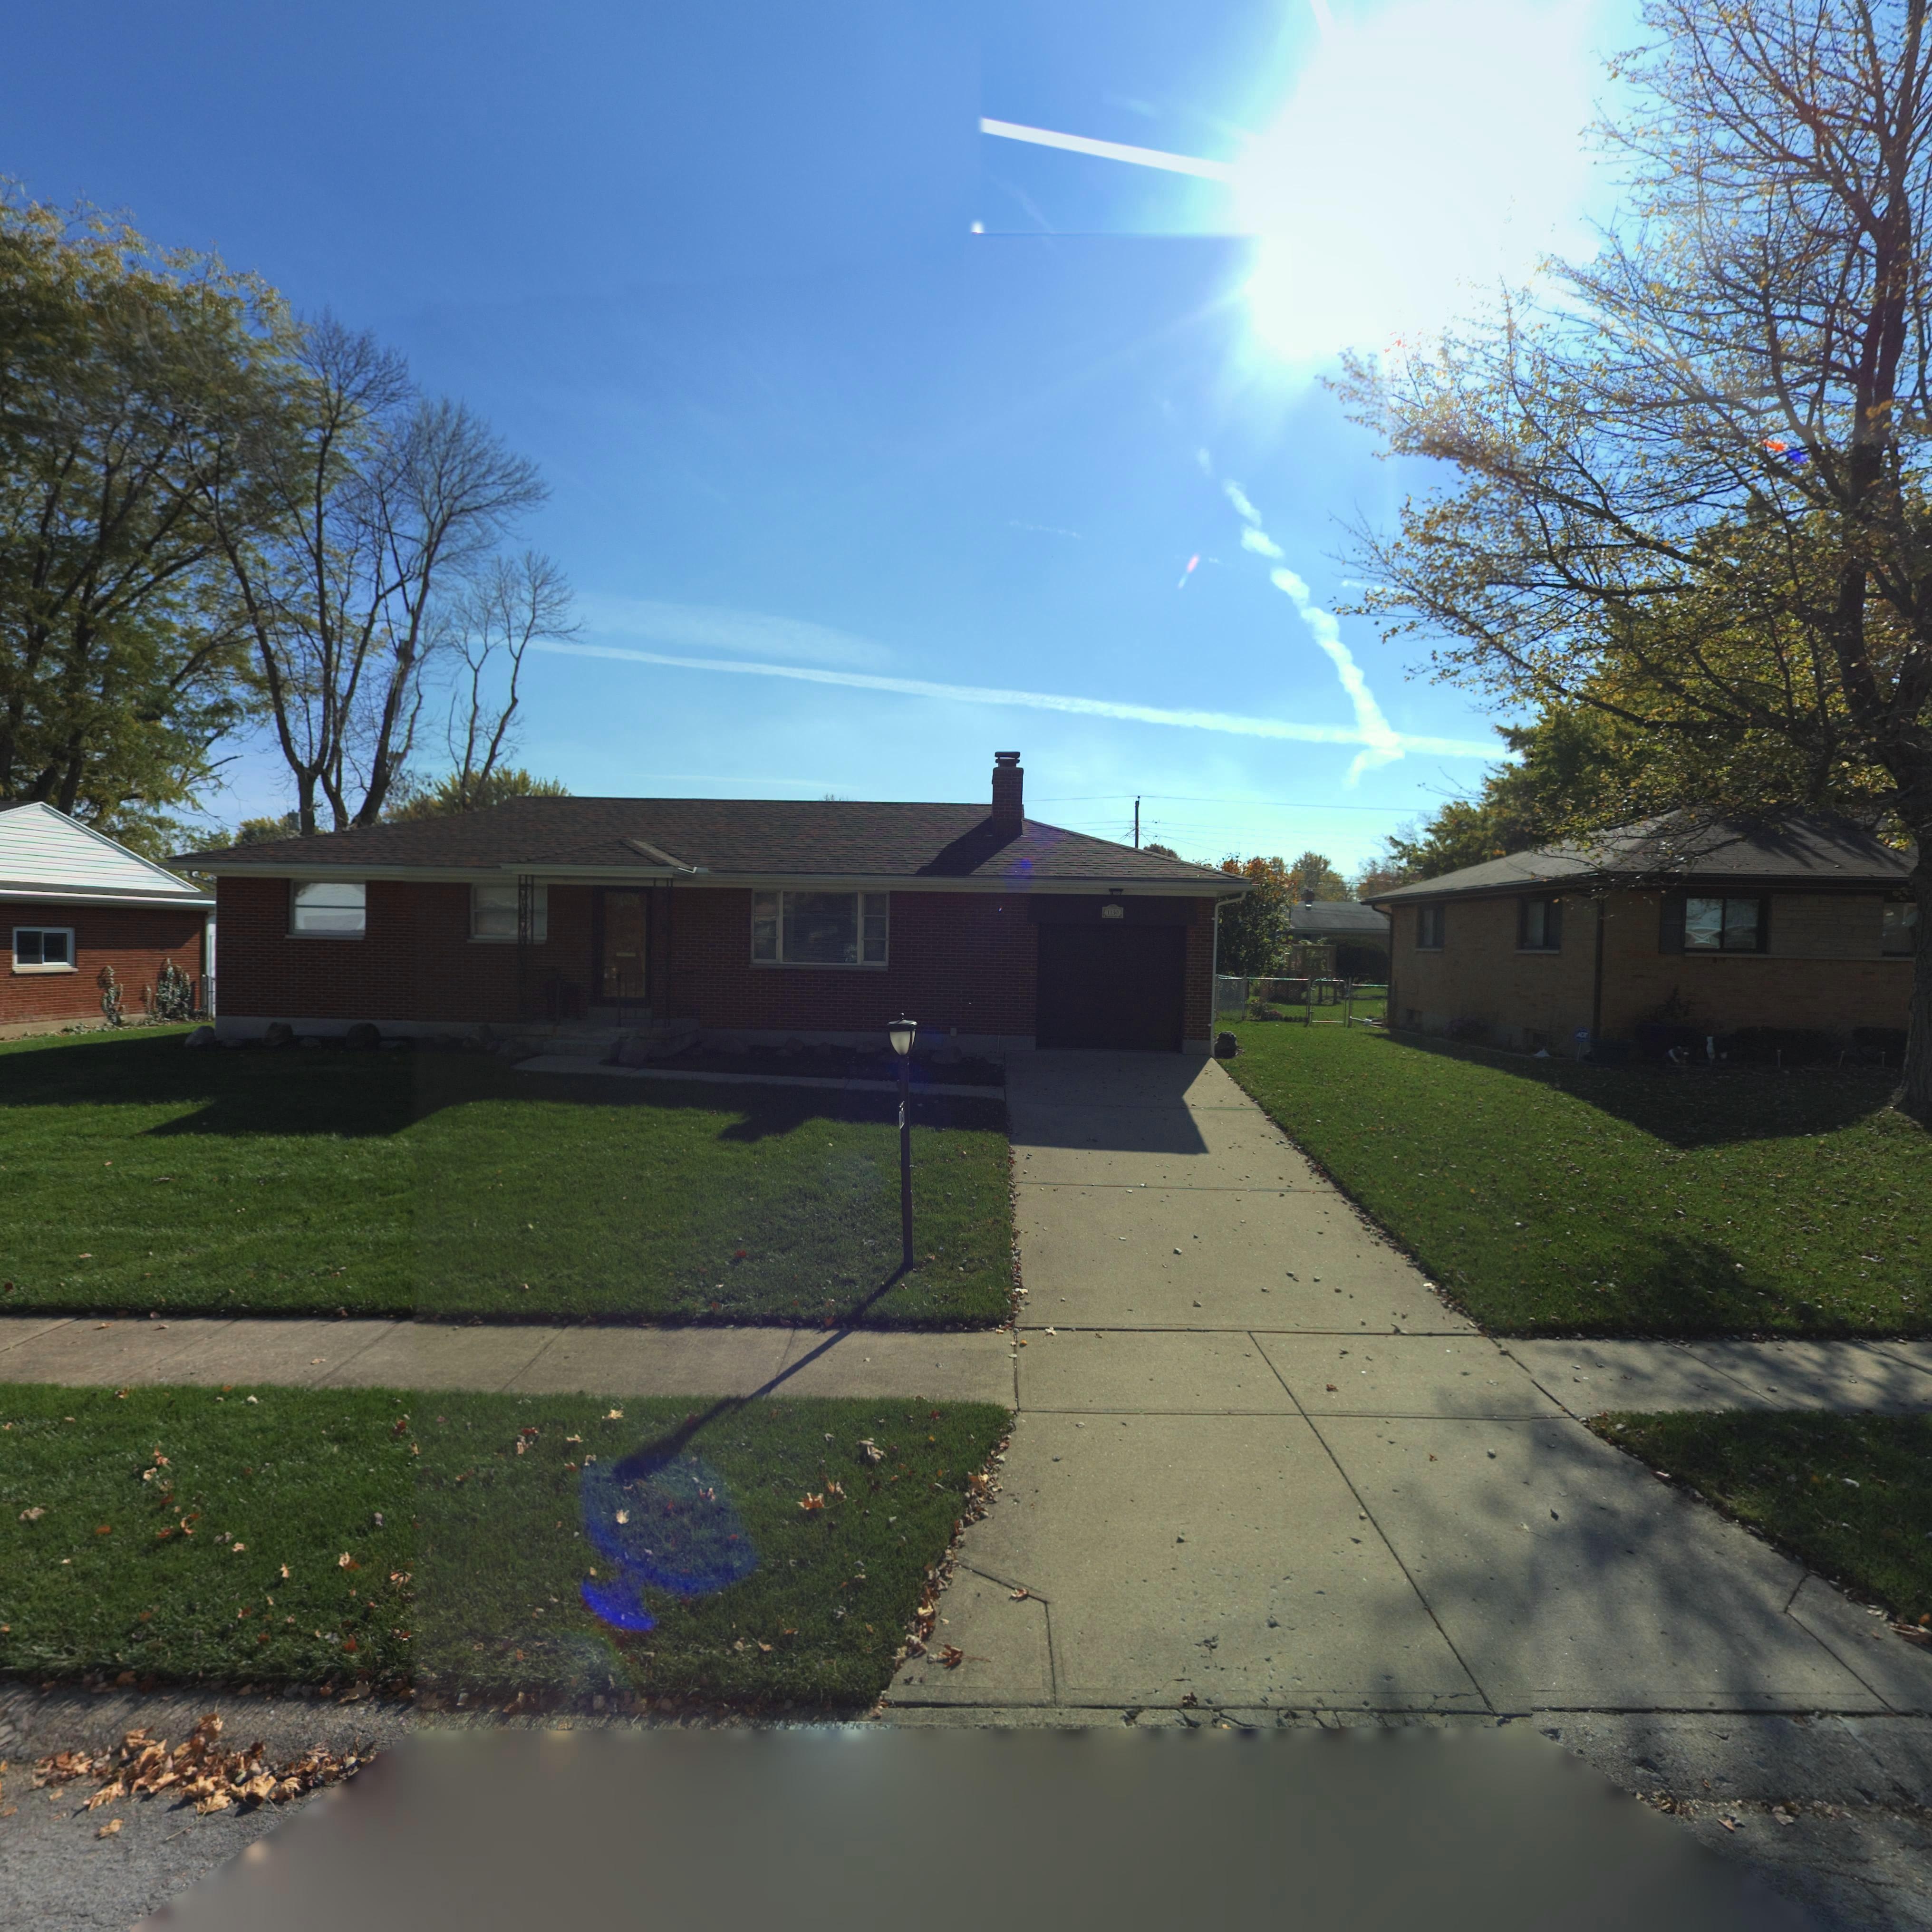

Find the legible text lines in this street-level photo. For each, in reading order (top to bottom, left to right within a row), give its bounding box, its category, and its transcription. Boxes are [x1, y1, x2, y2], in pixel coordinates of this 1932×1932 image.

[1107, 909, 1120, 916] StreetNumber: 11*0